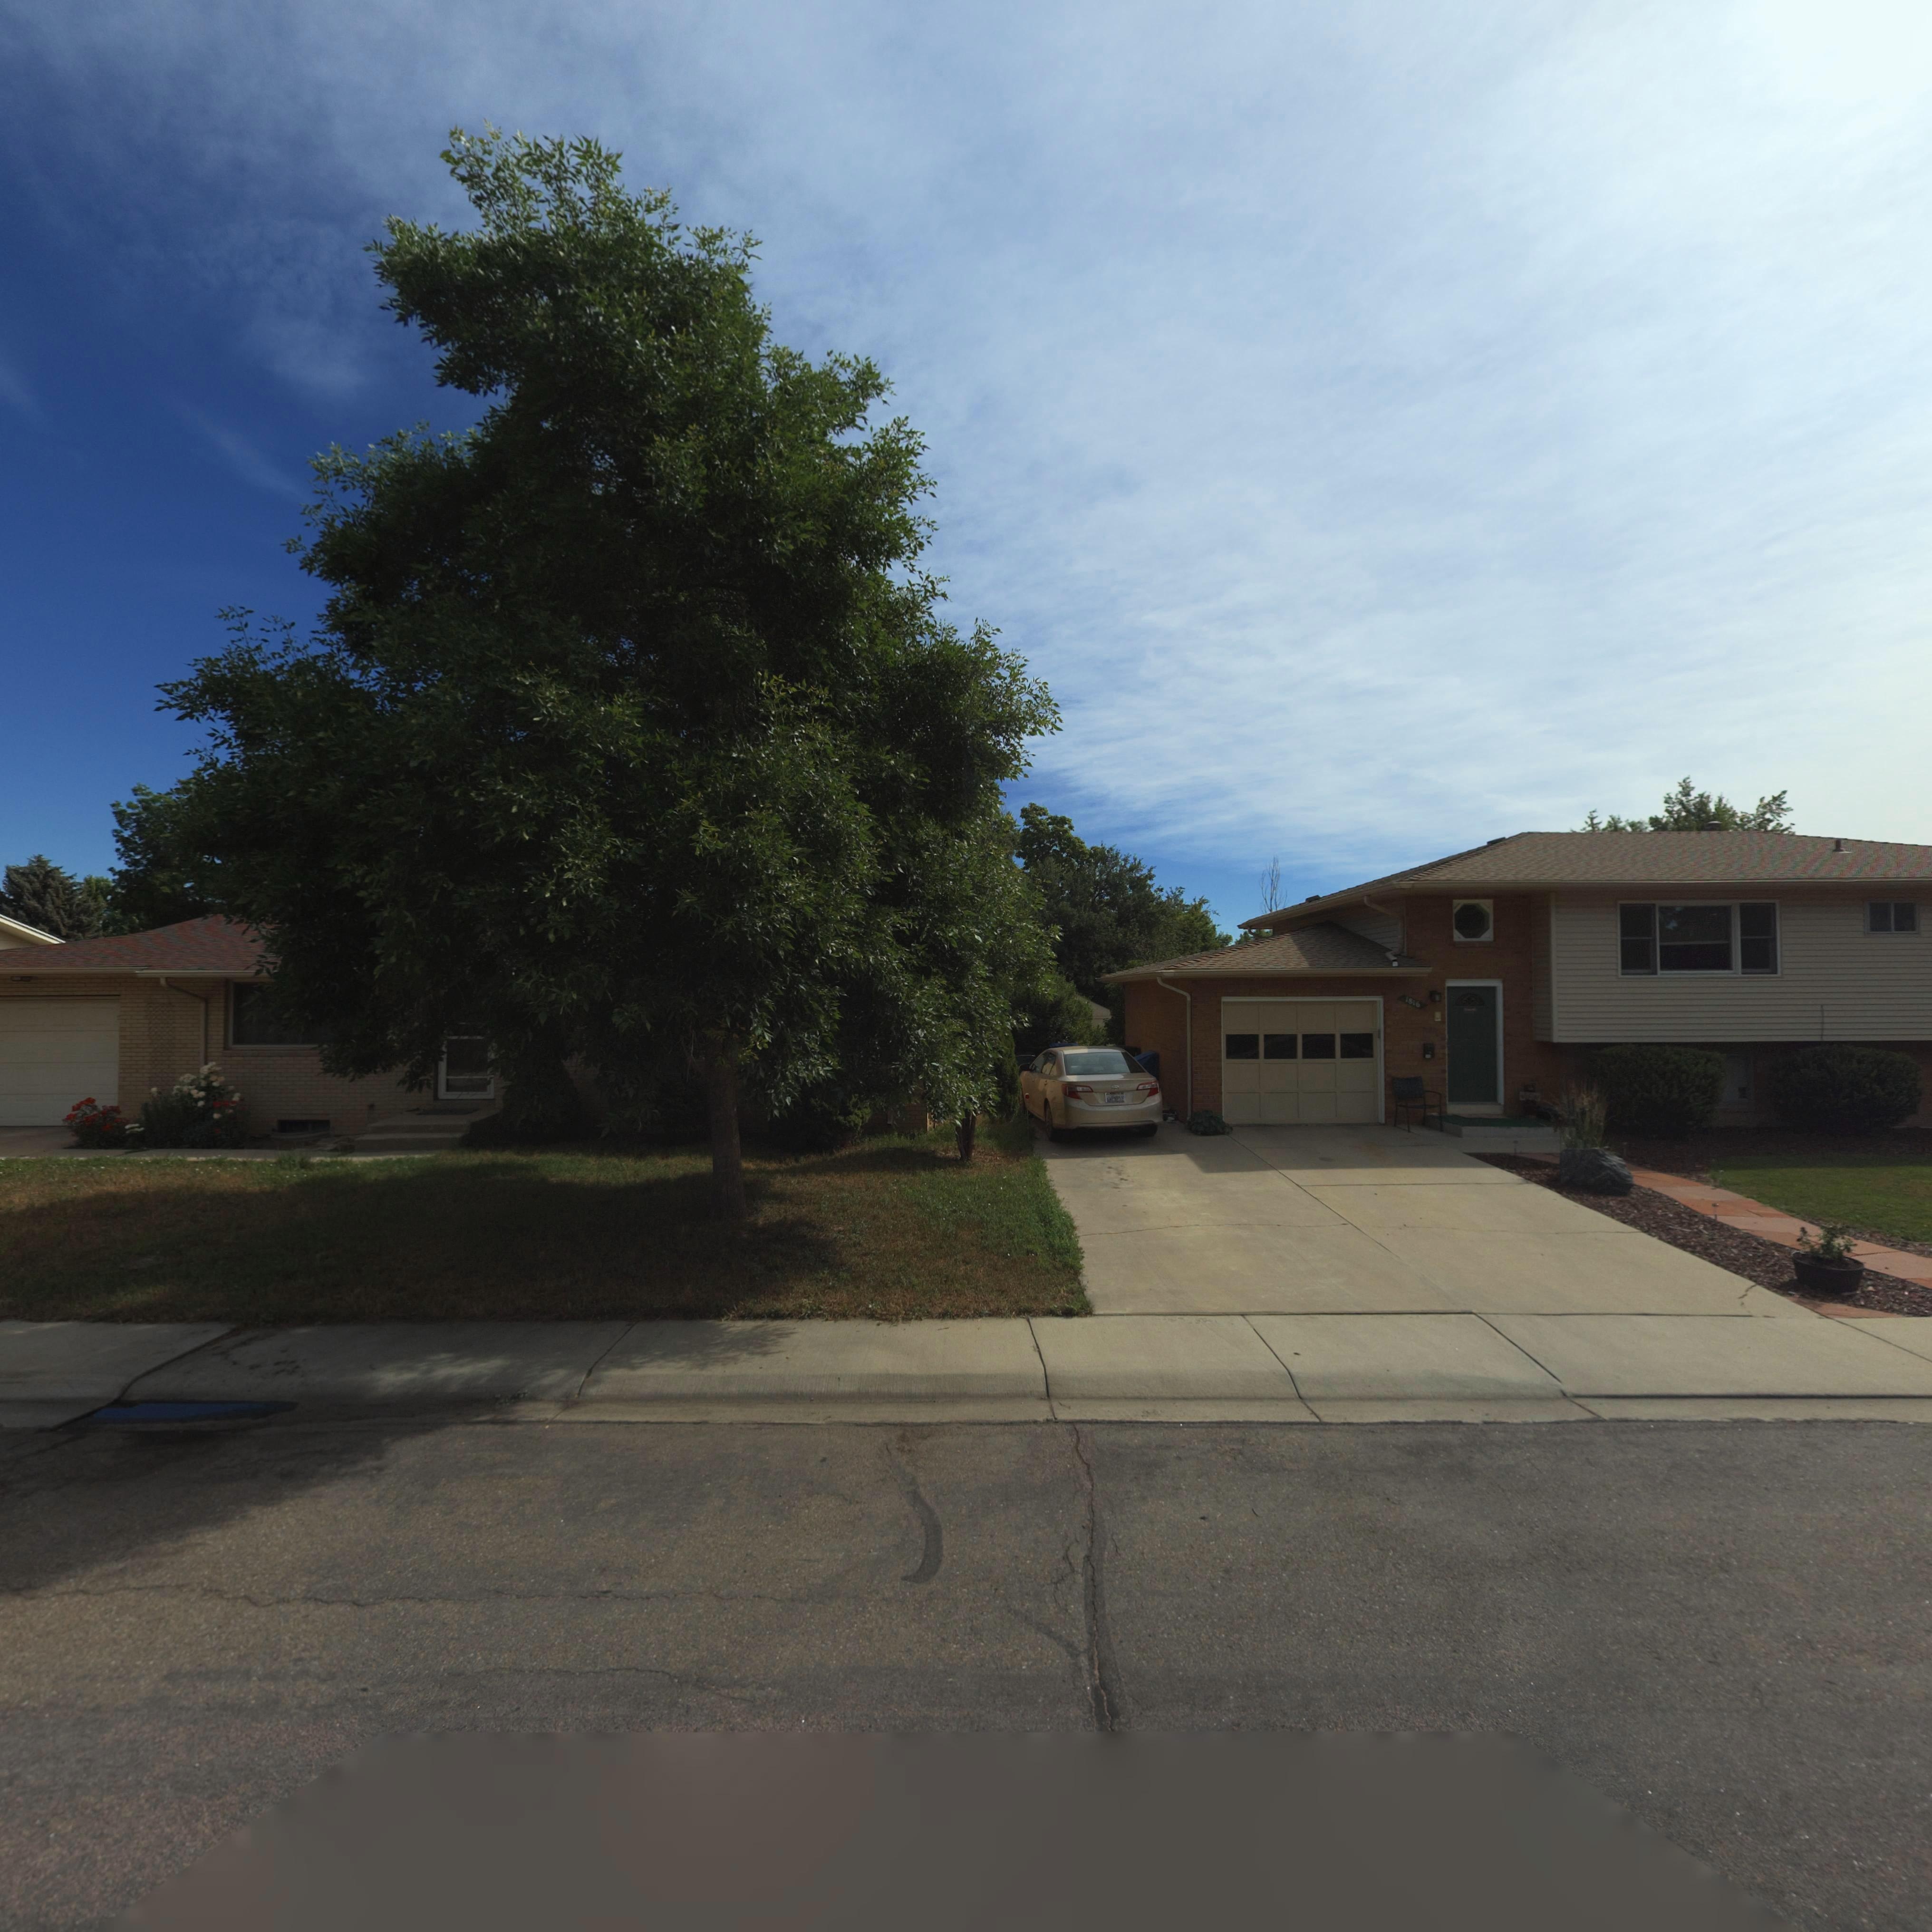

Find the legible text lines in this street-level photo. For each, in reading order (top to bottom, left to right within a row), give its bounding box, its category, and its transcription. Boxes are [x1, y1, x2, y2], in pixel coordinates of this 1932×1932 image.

[1404, 995, 1420, 1008] StreetNumber: 1816